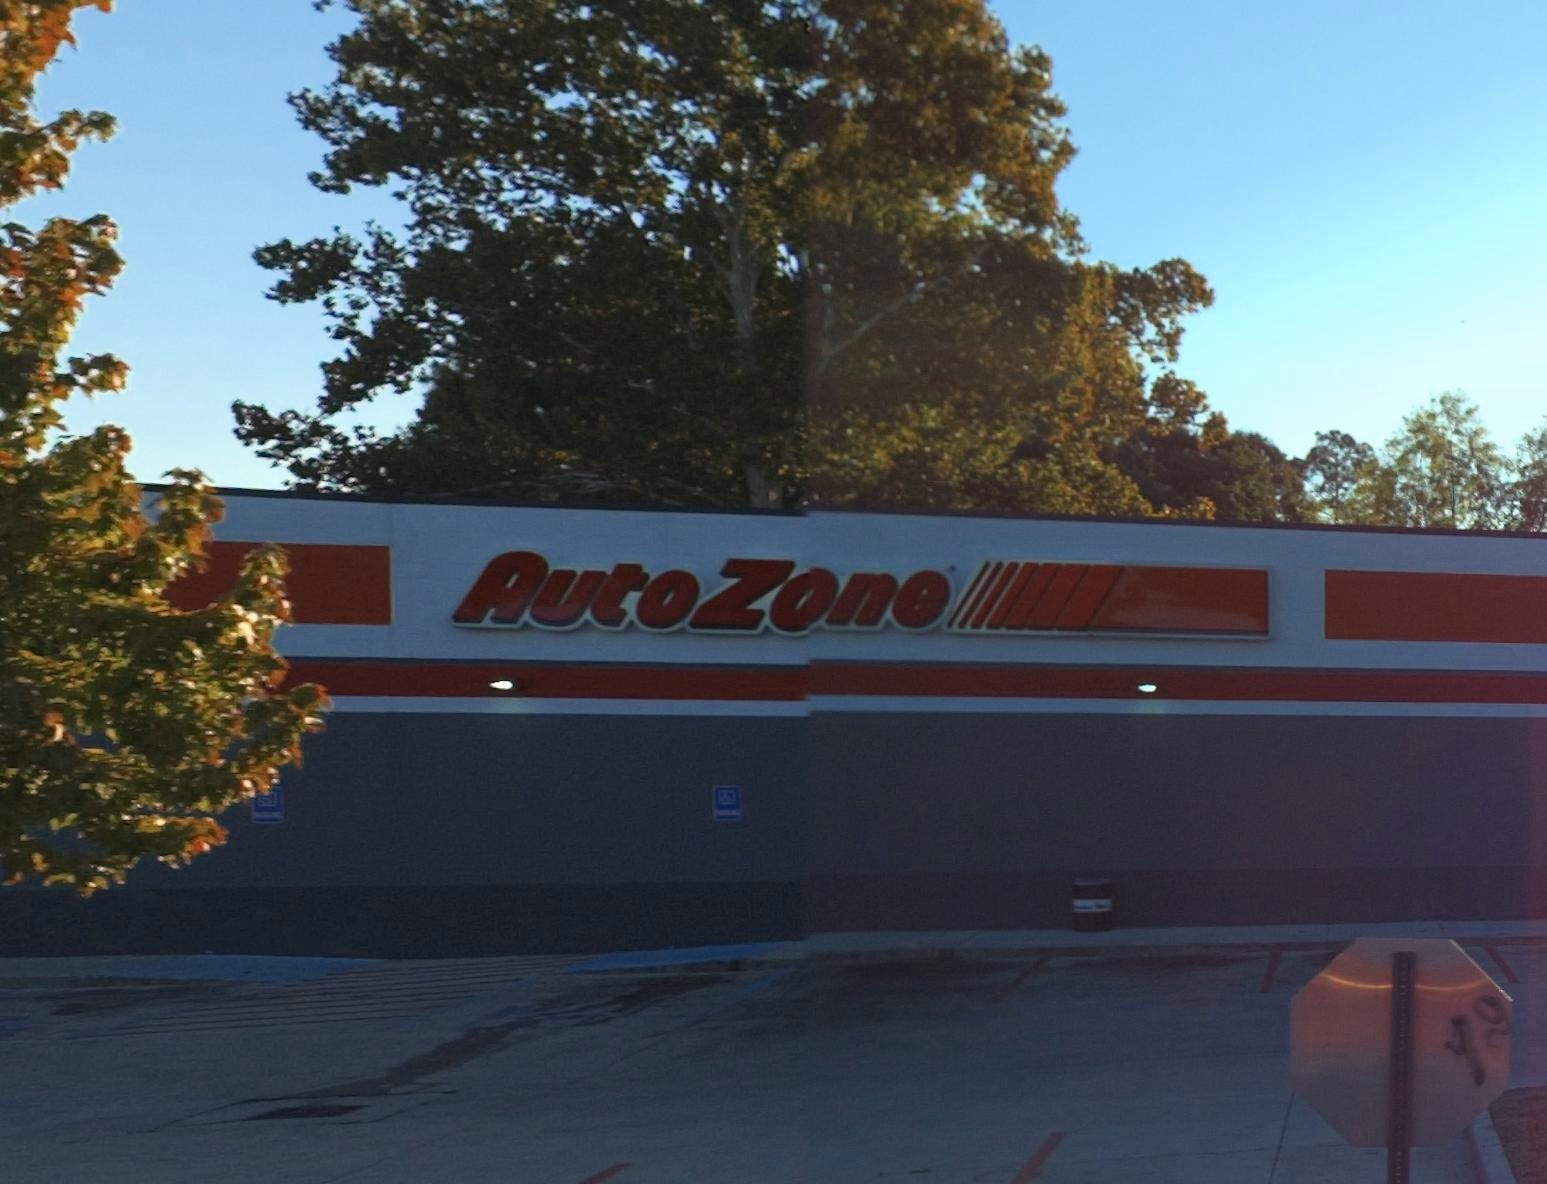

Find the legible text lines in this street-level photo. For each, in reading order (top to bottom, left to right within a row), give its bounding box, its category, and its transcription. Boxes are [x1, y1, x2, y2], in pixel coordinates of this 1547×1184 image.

[438, 544, 977, 643] BusinessName: AutoZ*ne
[1439, 991, 1513, 1092] None: yg